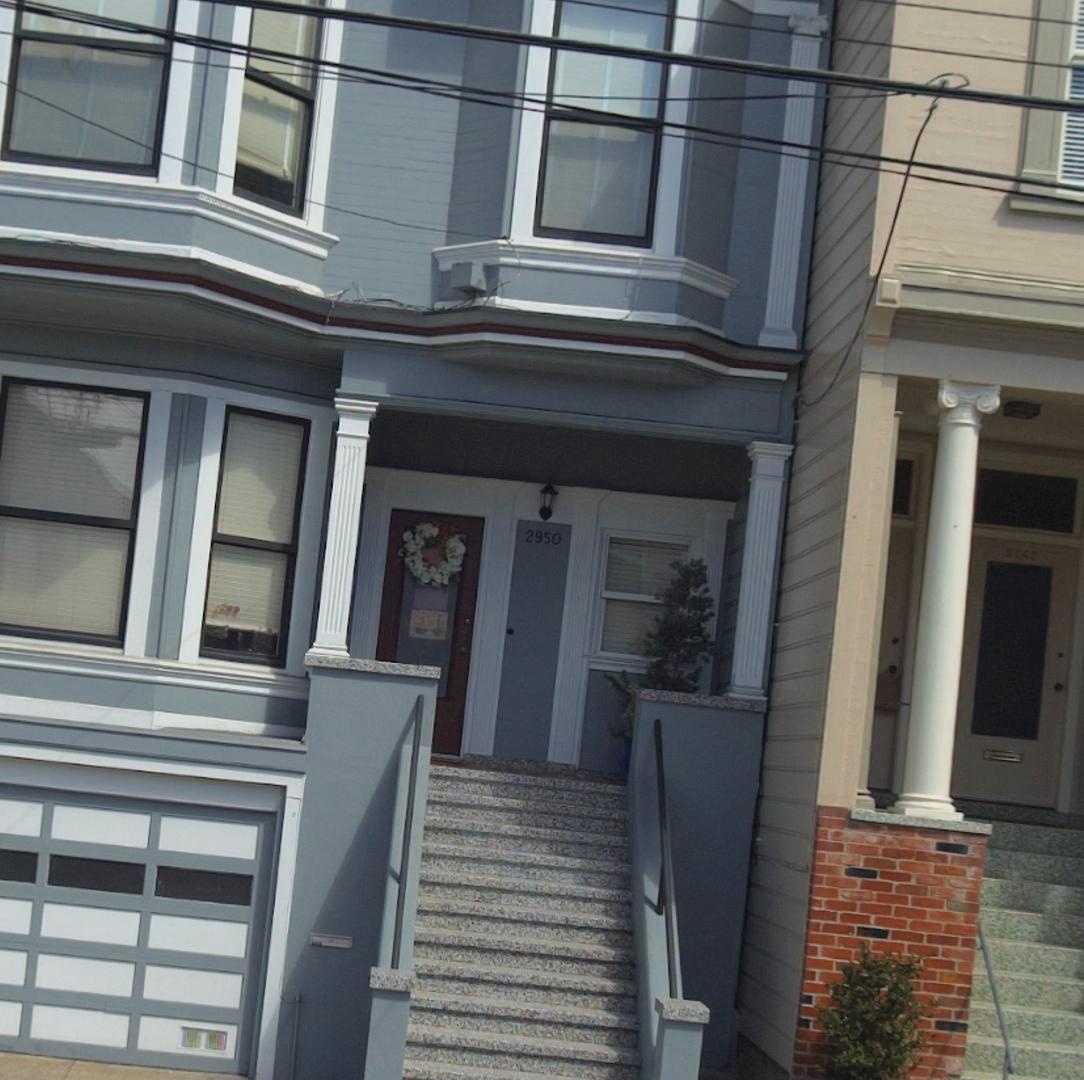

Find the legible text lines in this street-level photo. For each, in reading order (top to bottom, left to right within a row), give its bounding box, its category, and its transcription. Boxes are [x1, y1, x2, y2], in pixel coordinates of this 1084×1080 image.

[526, 529, 562, 546] StreetNumber: 2950
[1004, 545, 1039, 561] StreetNumber: 2542